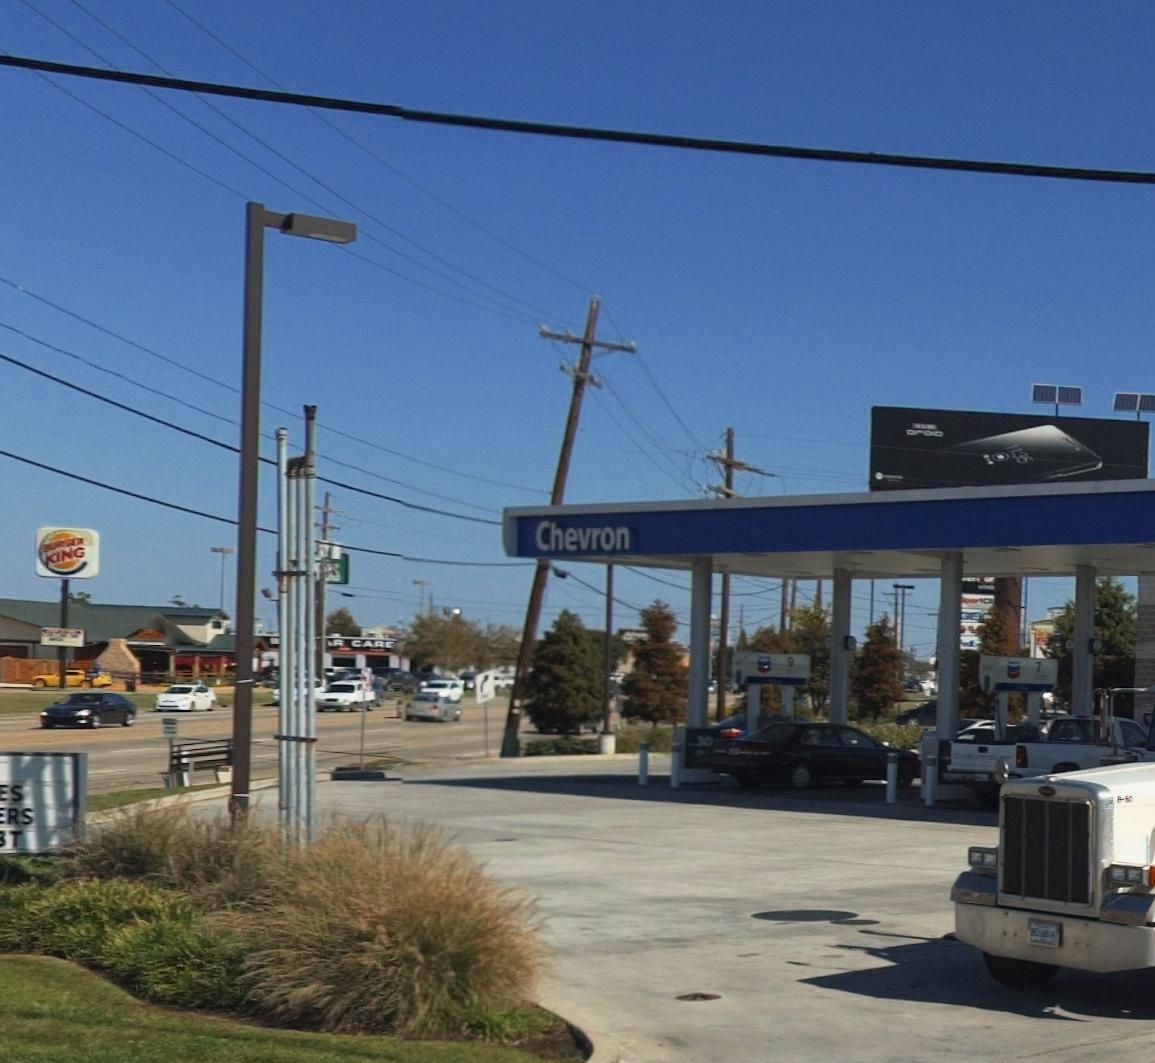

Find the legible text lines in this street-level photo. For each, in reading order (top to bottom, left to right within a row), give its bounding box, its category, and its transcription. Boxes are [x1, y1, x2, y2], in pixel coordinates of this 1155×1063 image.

[1000, 439, 1038, 467] None: 11:35
[37, 532, 90, 558] BusinessName: BURGER
[533, 517, 632, 555] BusinessName: Chevron
[42, 542, 88, 571] BusinessName: KING
[968, 610, 986, 623] BusinessName: EI
[348, 637, 399, 651] None: CARE
[784, 653, 798, 670] None: 9
[1033, 660, 1045, 674] None: 7
[694, 733, 717, 750] None: 30
[8, 782, 26, 804] None: S
[4, 804, 37, 828] None: RS
[6, 828, 25, 849] None: T